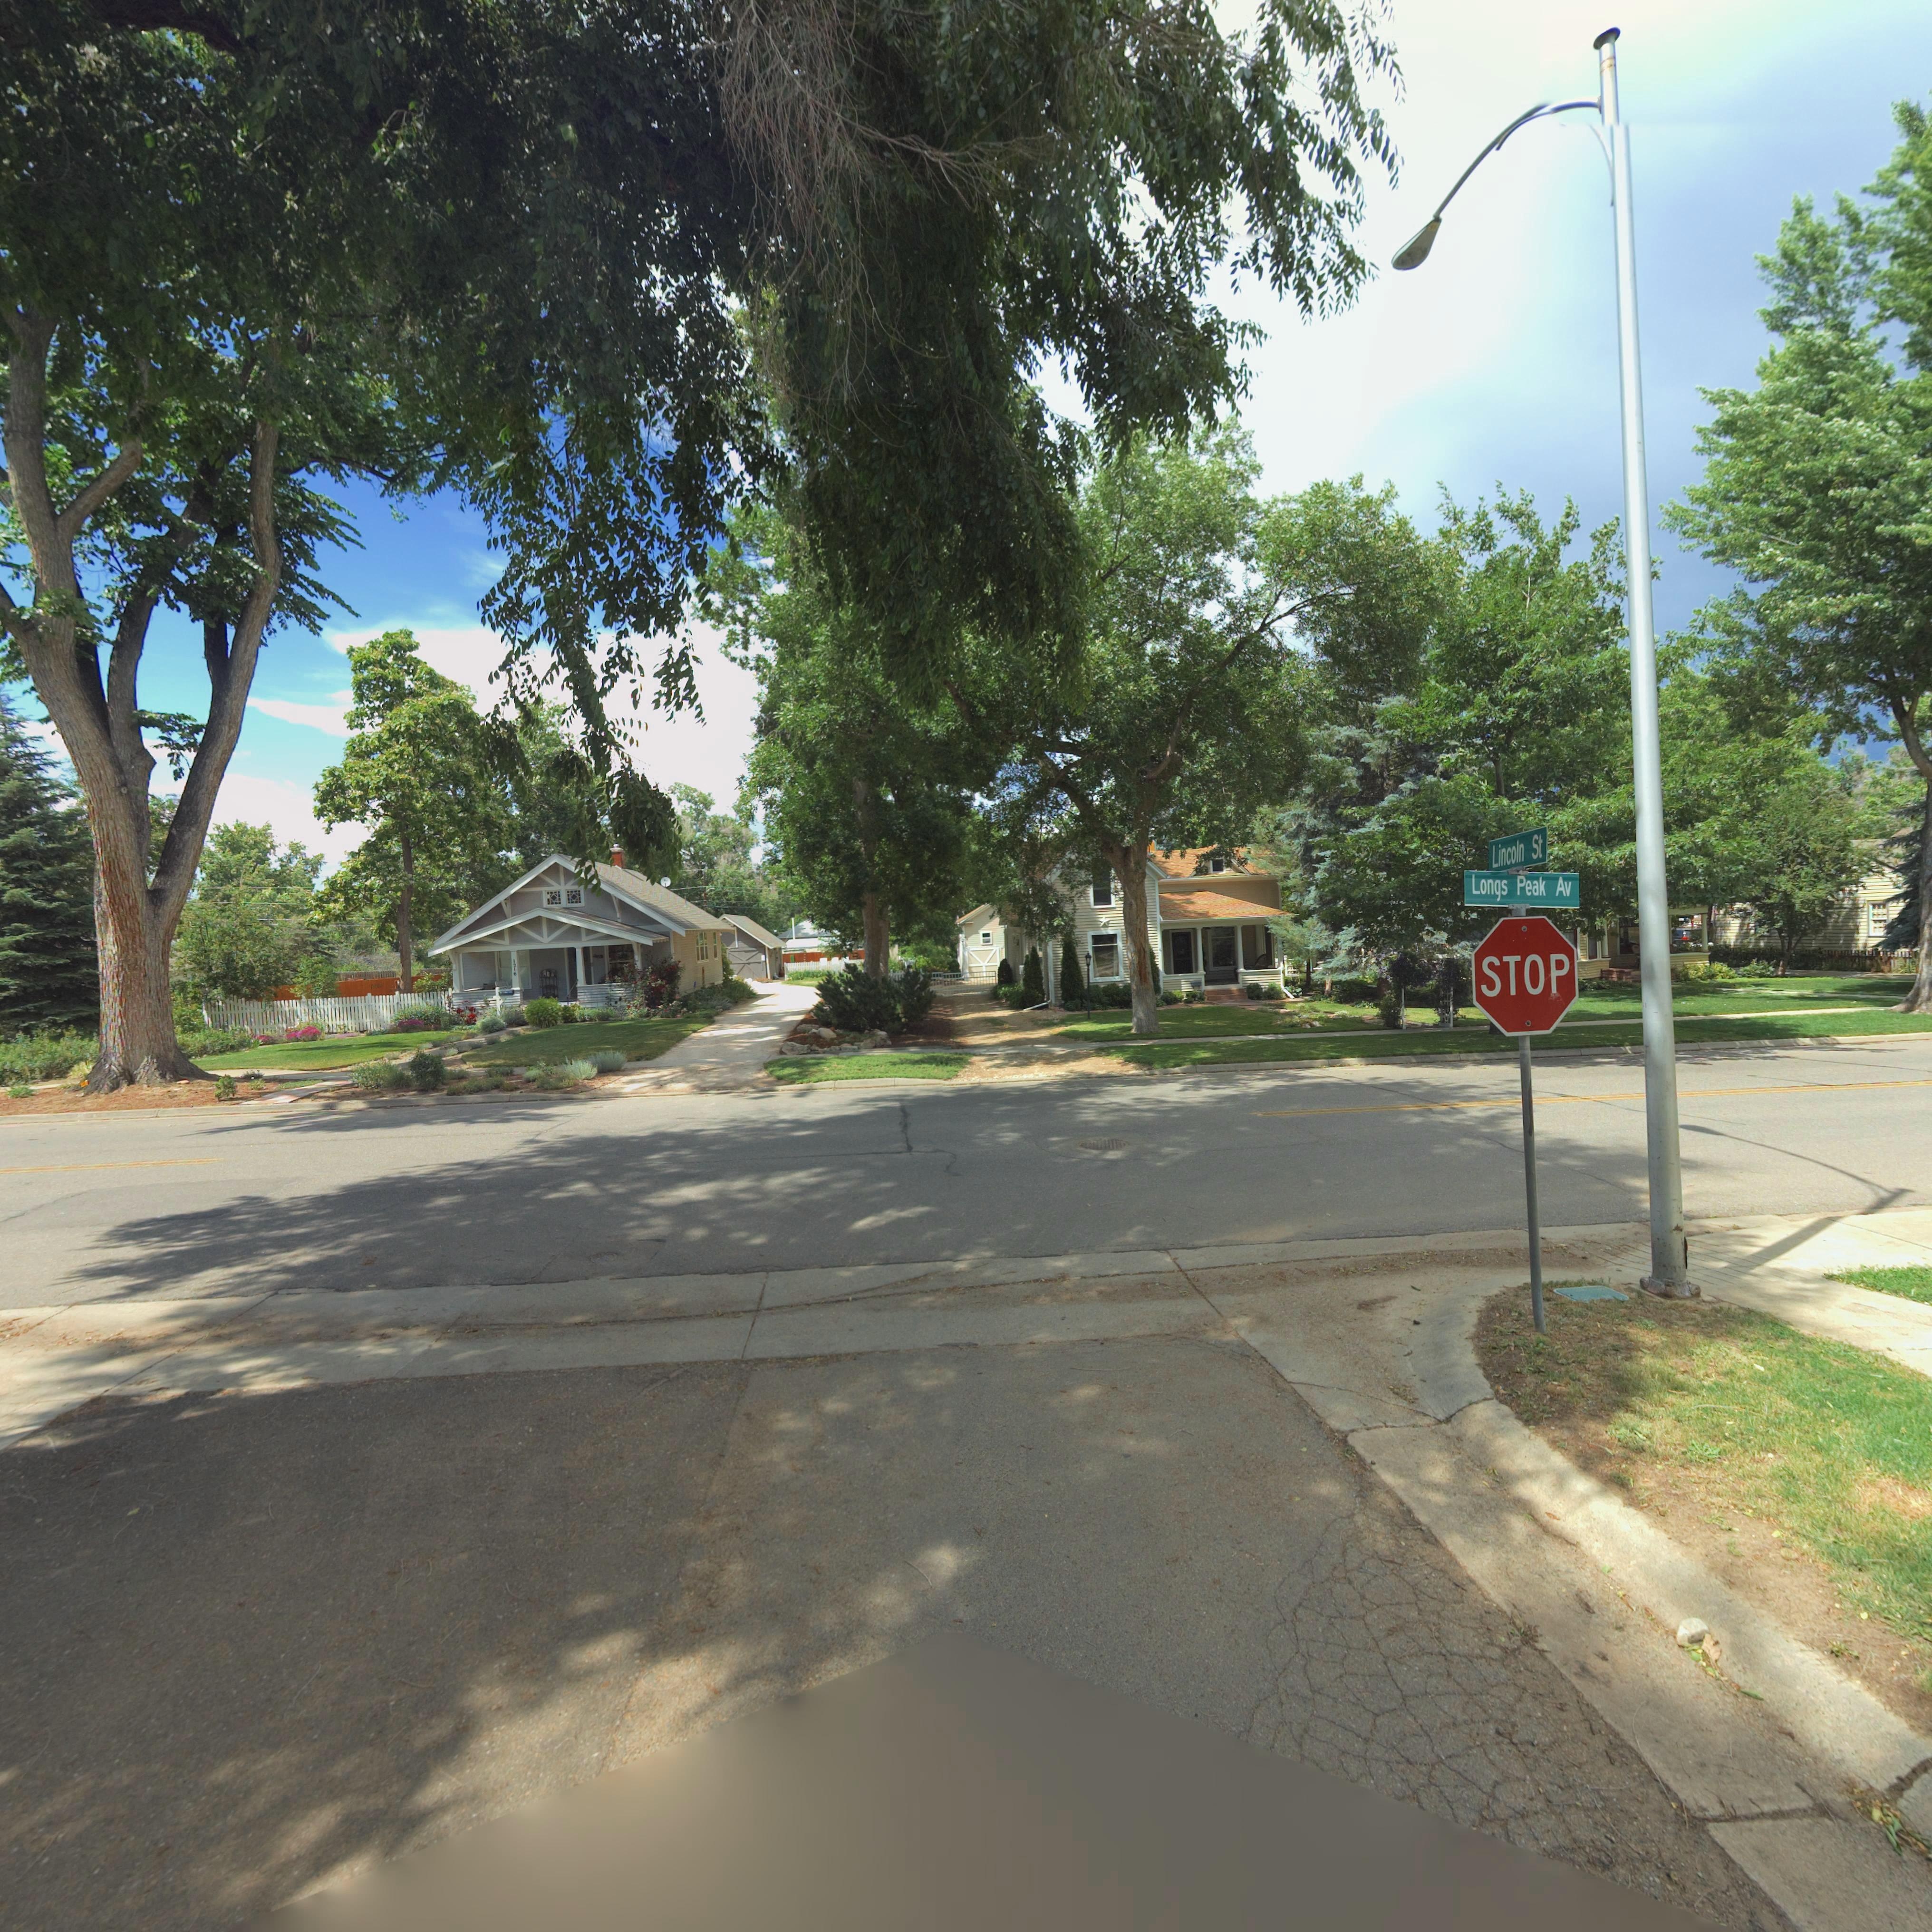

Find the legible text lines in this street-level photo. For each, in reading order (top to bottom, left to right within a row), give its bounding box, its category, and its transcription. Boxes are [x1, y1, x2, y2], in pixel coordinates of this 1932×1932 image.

[1492, 833, 1544, 869] StreetName: Lincoln St
[1471, 873, 1573, 902] StreetName: Longs Peak Av
[512, 958, 517, 976] StreetNumber: 1716